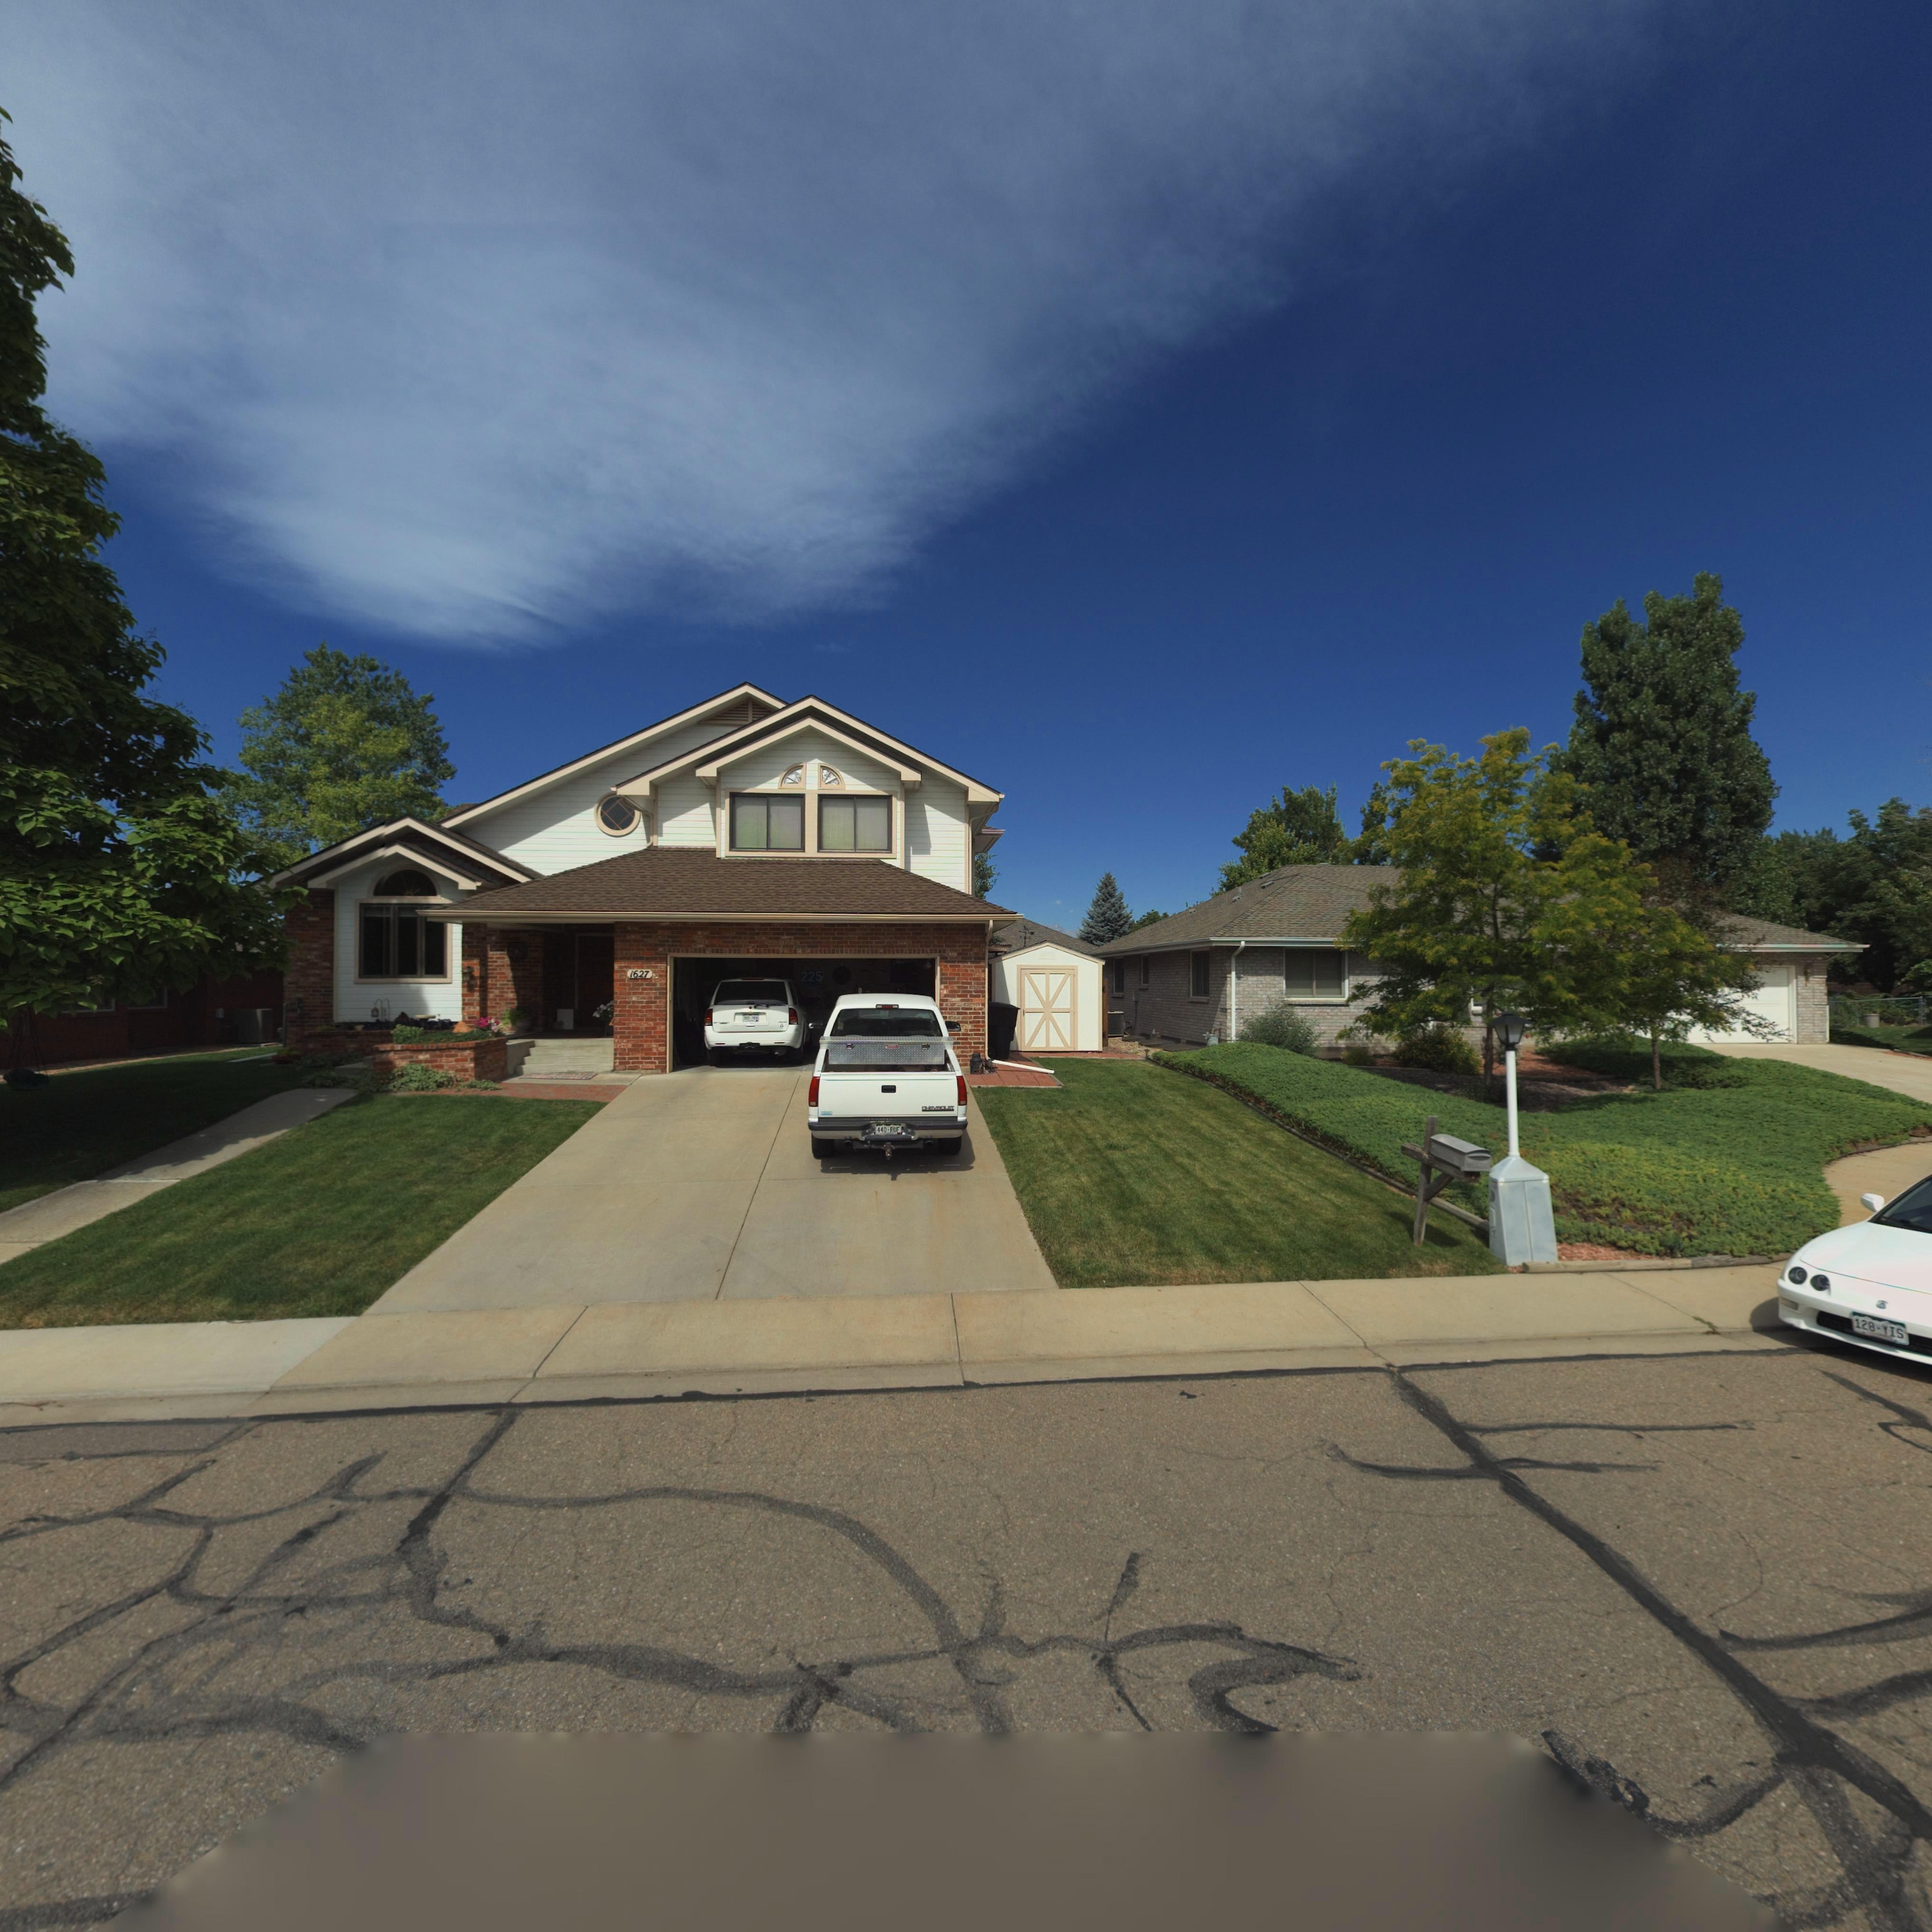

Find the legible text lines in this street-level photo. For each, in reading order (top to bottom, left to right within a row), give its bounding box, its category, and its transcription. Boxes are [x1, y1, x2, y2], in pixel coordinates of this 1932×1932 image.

[629, 969, 650, 978] StreetNumber: 1627